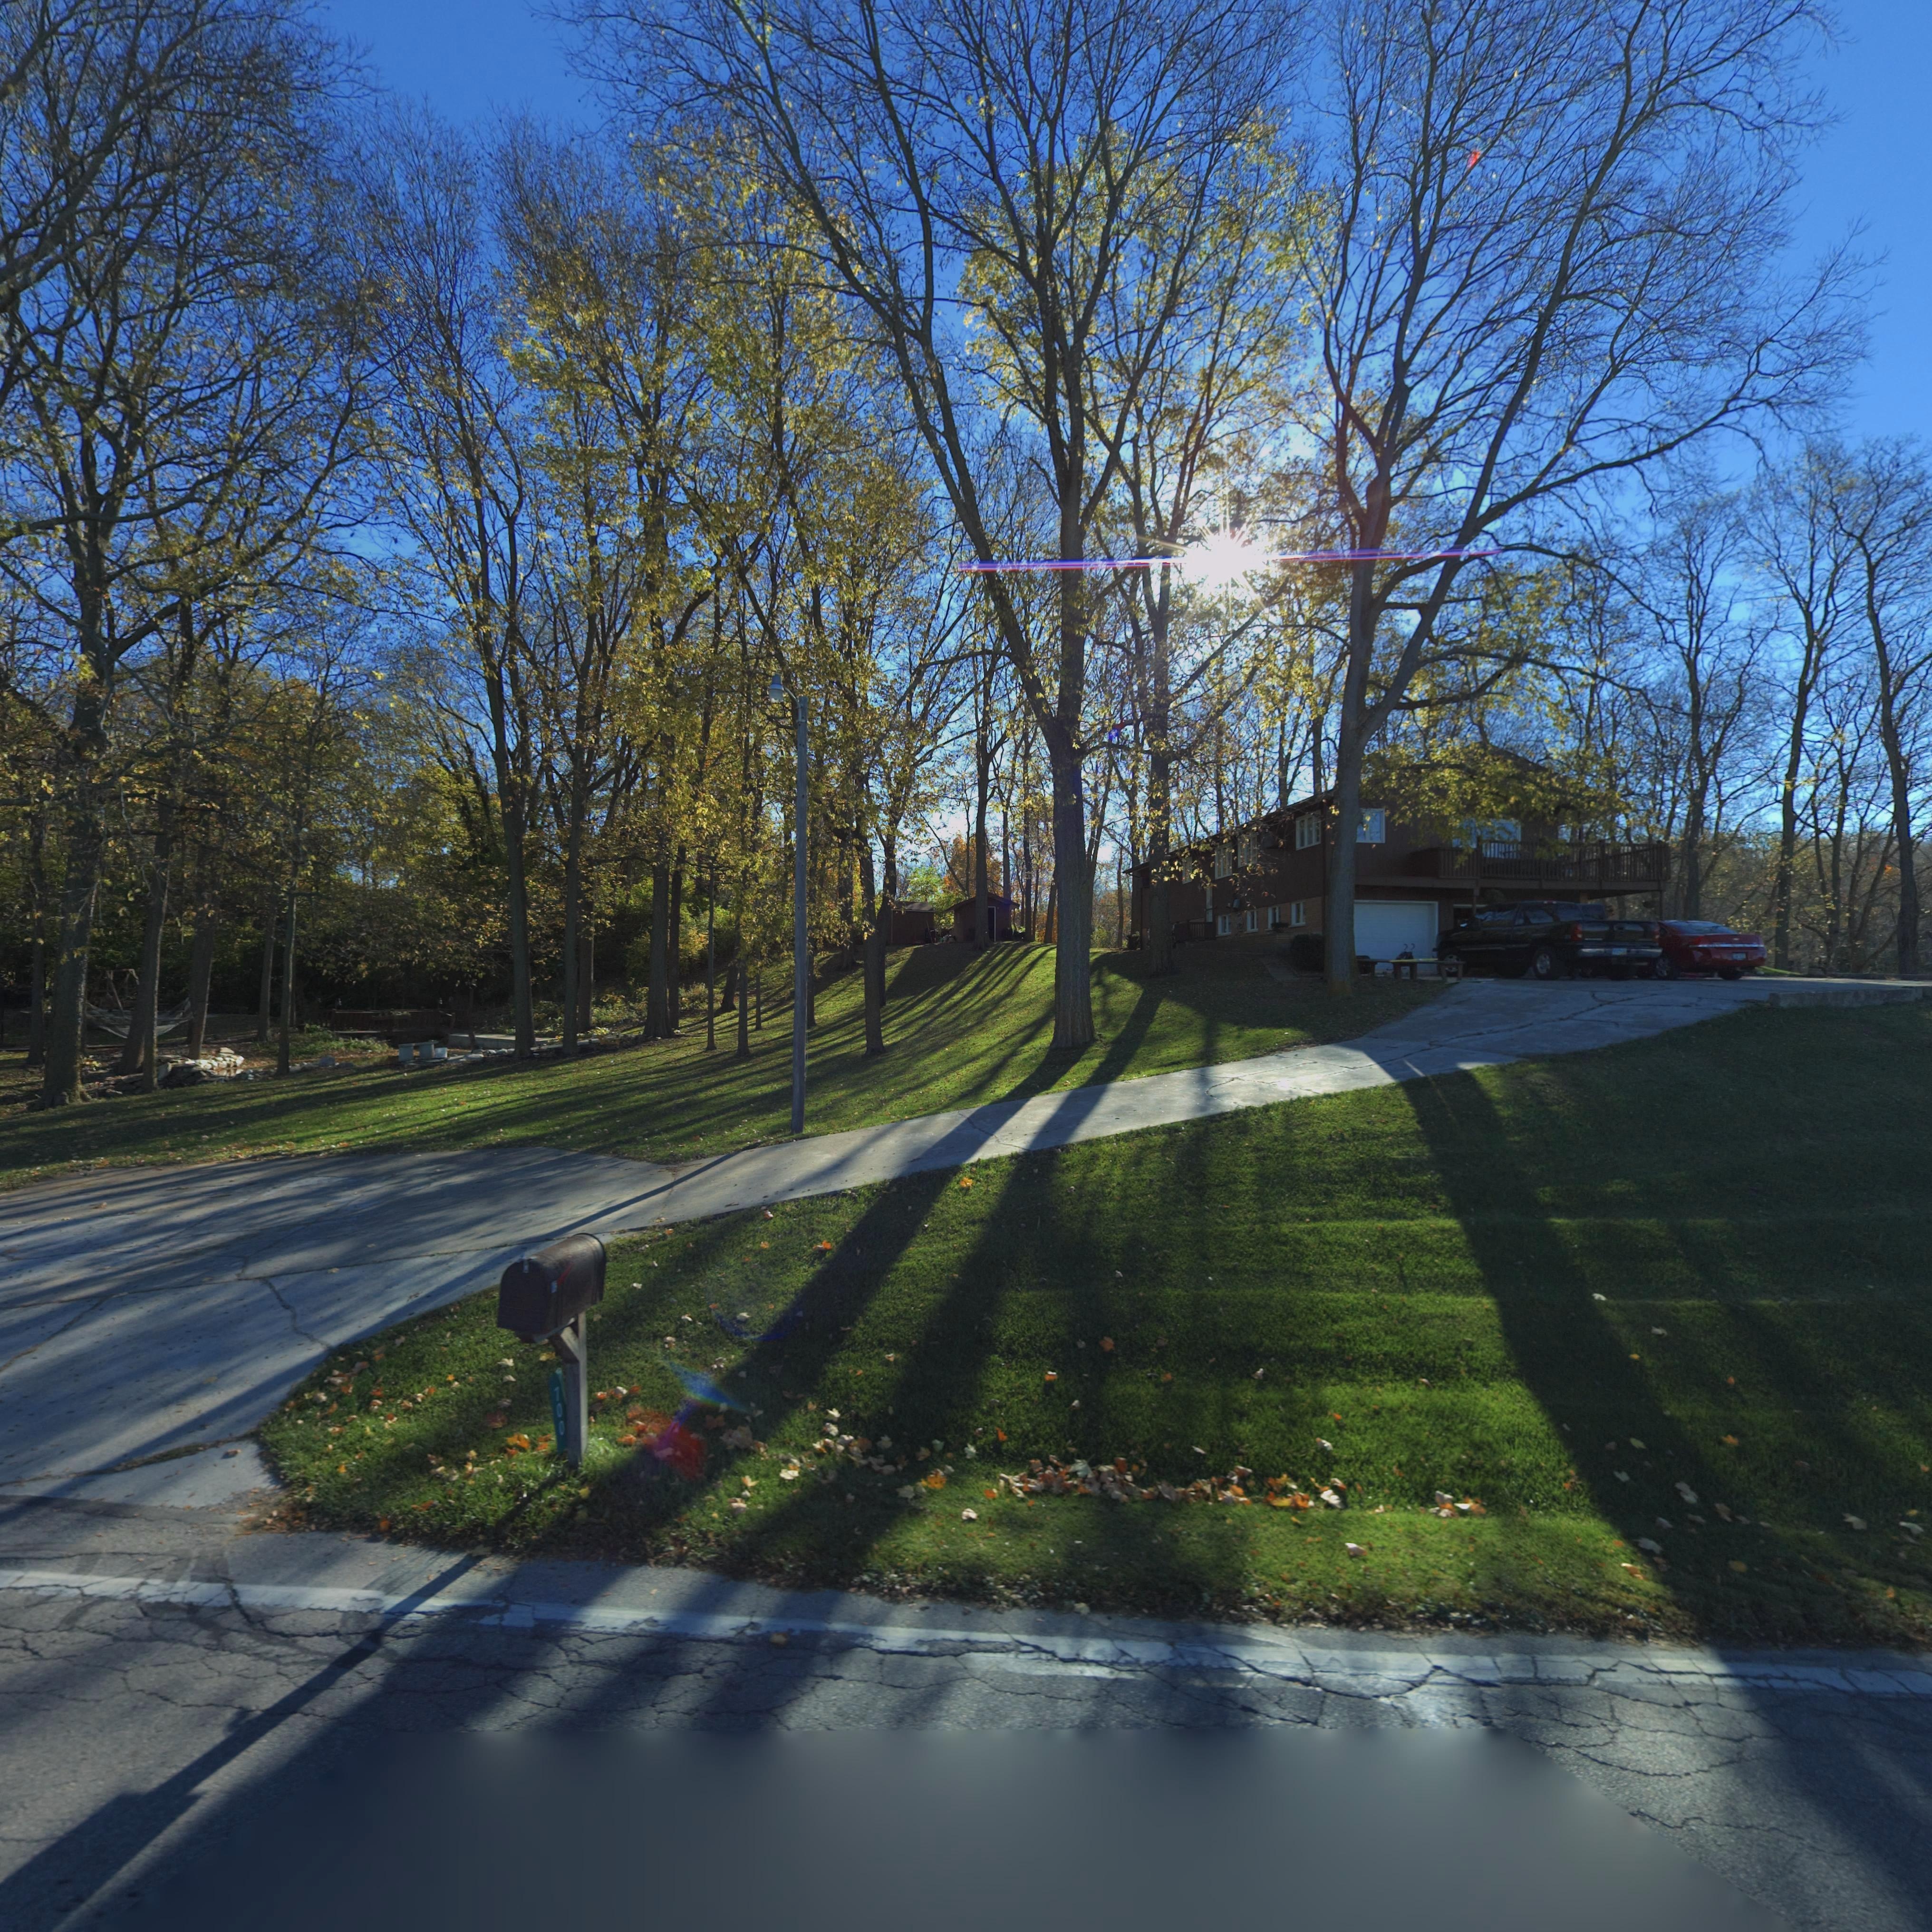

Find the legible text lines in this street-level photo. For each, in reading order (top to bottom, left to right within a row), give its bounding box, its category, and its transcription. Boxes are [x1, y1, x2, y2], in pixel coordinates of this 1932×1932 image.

[552, 1385, 567, 1438] StreetNumber: 700